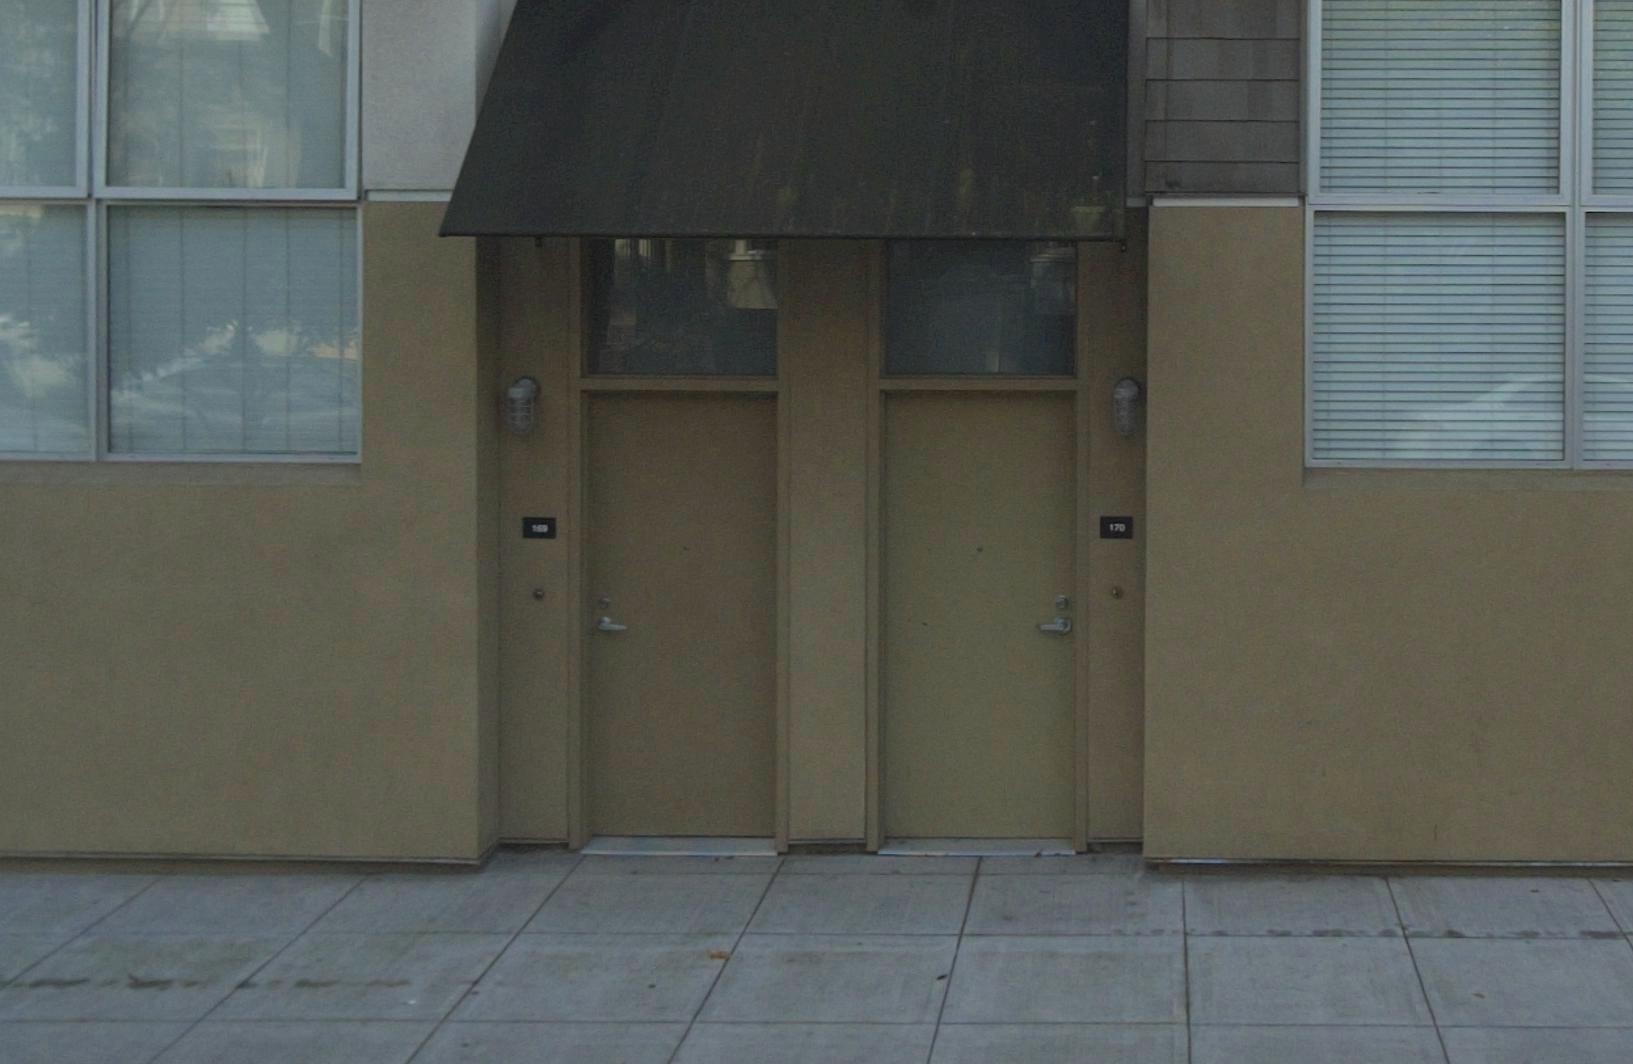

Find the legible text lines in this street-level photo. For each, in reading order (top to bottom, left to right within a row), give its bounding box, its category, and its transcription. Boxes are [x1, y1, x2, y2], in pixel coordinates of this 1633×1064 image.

[529, 523, 550, 535] StreetNumber: 169
[1107, 521, 1128, 534] StreetNumber: 170